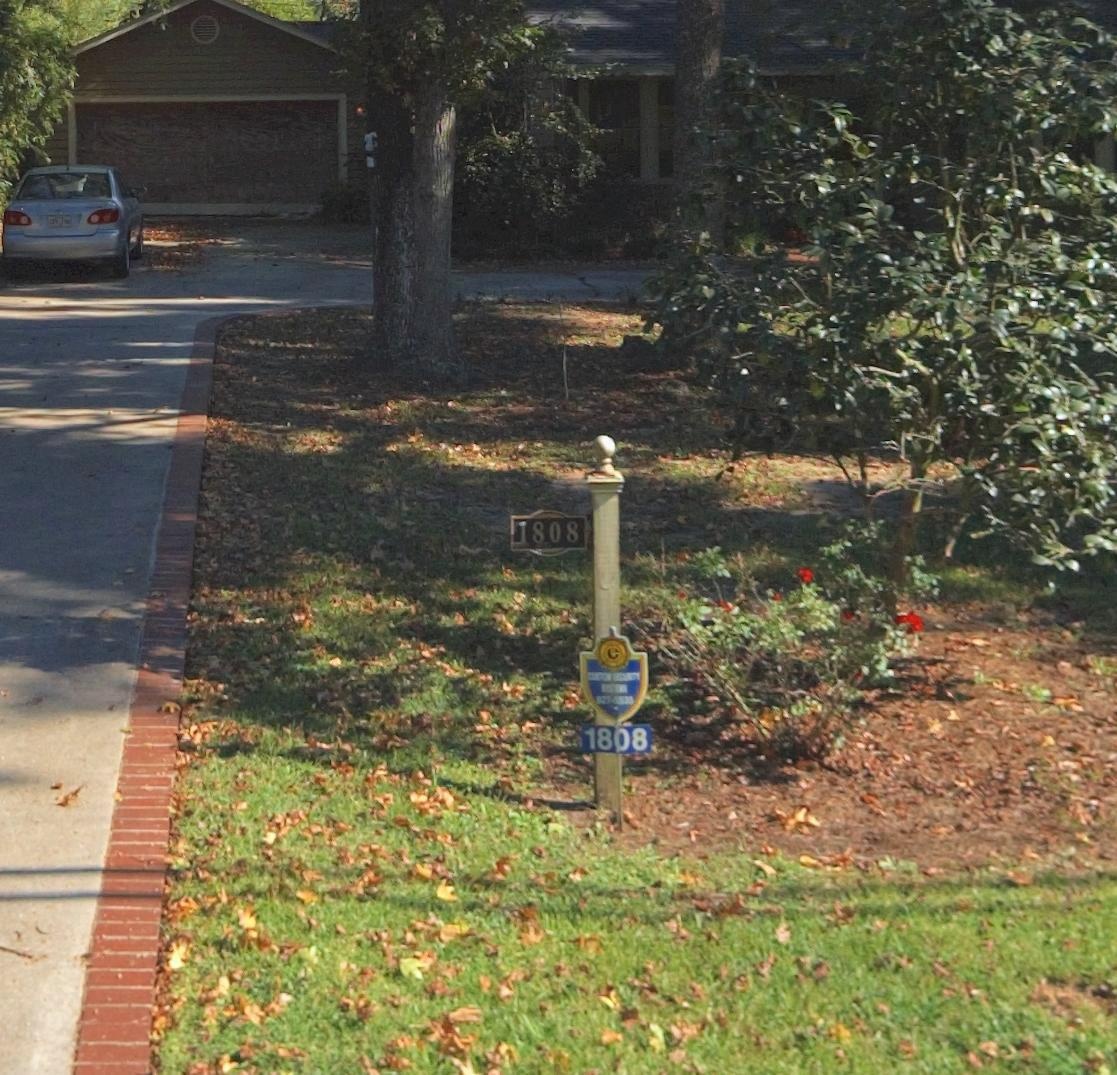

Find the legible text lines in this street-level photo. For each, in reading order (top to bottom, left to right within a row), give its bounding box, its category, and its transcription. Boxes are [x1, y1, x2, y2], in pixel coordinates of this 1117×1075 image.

[516, 519, 581, 545] StreetNumber: 1808
[582, 725, 650, 754] StreetNumber: 1808